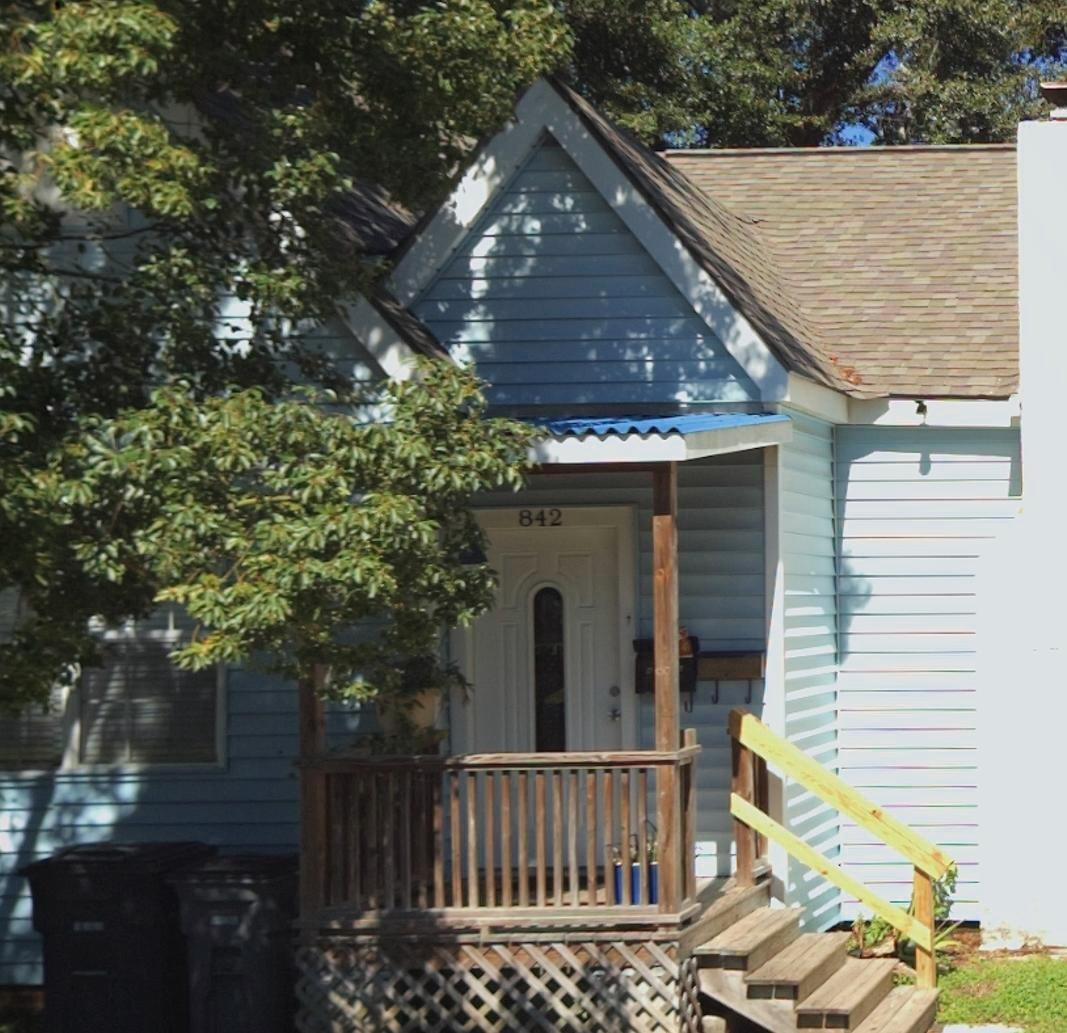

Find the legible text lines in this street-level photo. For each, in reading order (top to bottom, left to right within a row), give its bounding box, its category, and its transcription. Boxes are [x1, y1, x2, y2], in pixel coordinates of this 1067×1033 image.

[518, 508, 563, 527] StreetNumber: 842